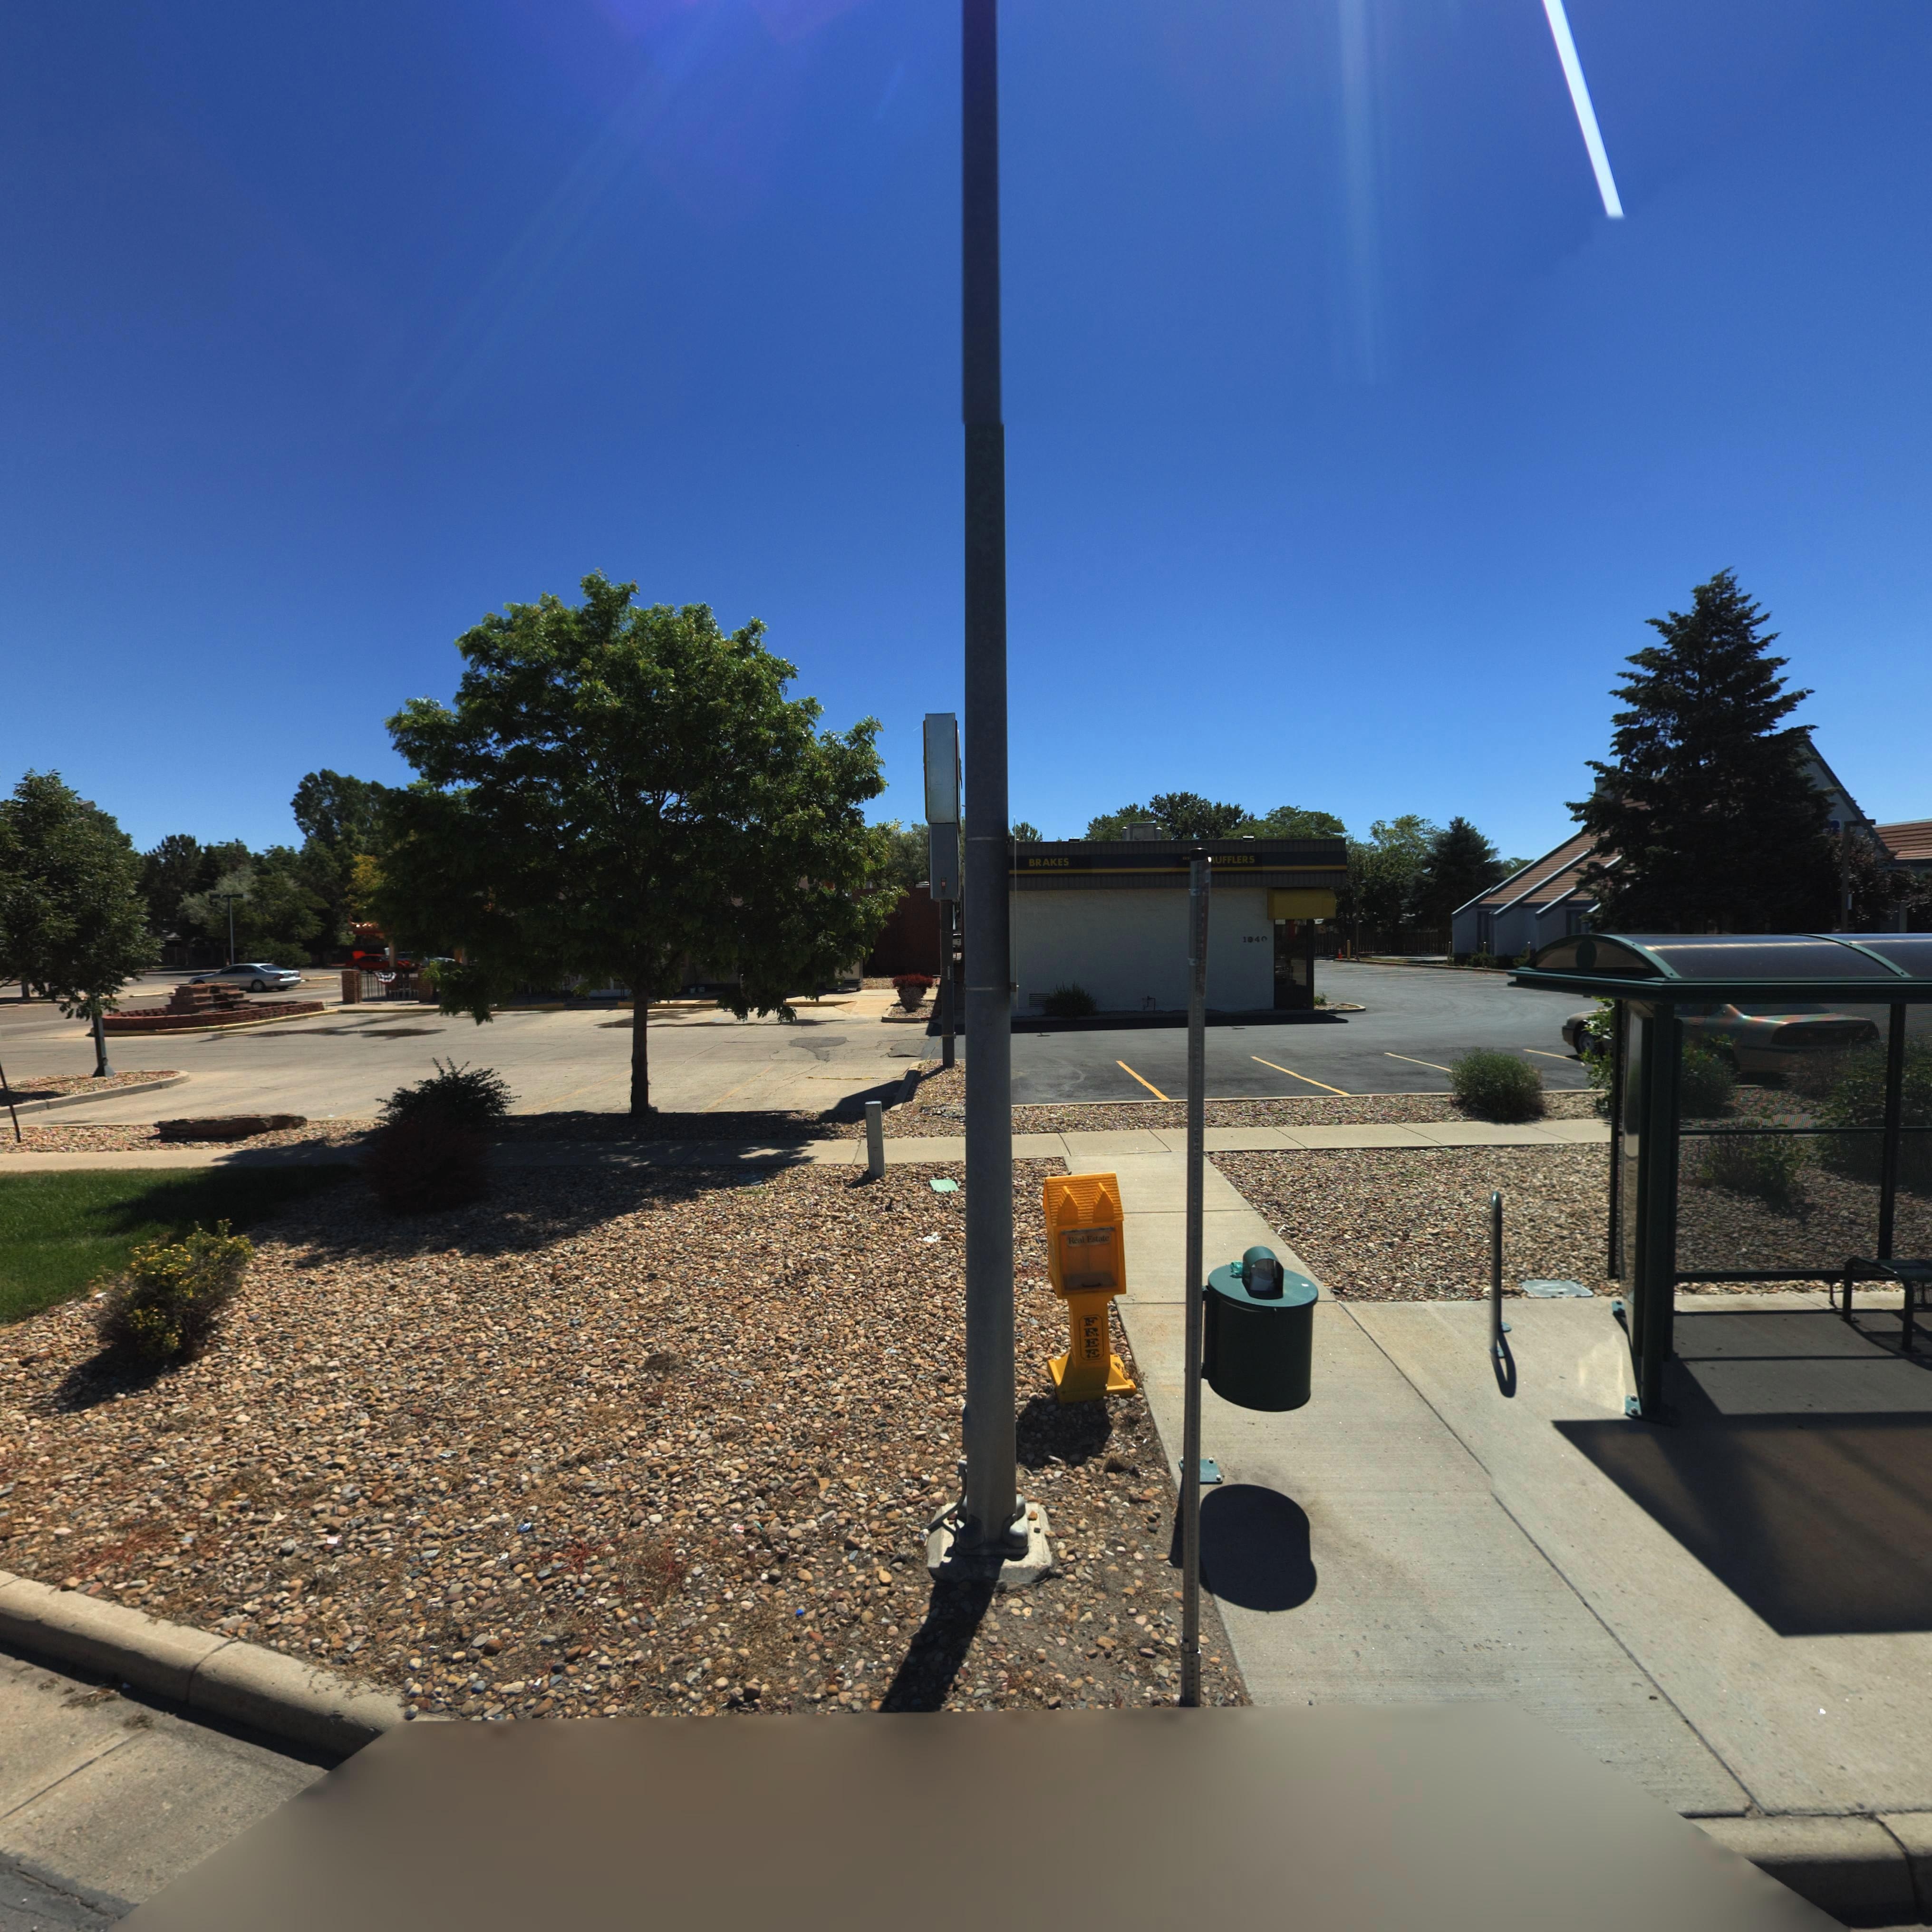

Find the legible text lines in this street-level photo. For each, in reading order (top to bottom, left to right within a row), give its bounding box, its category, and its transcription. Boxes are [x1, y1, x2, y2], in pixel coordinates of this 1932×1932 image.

[1243, 935, 1267, 943] StreetNumber: 1940